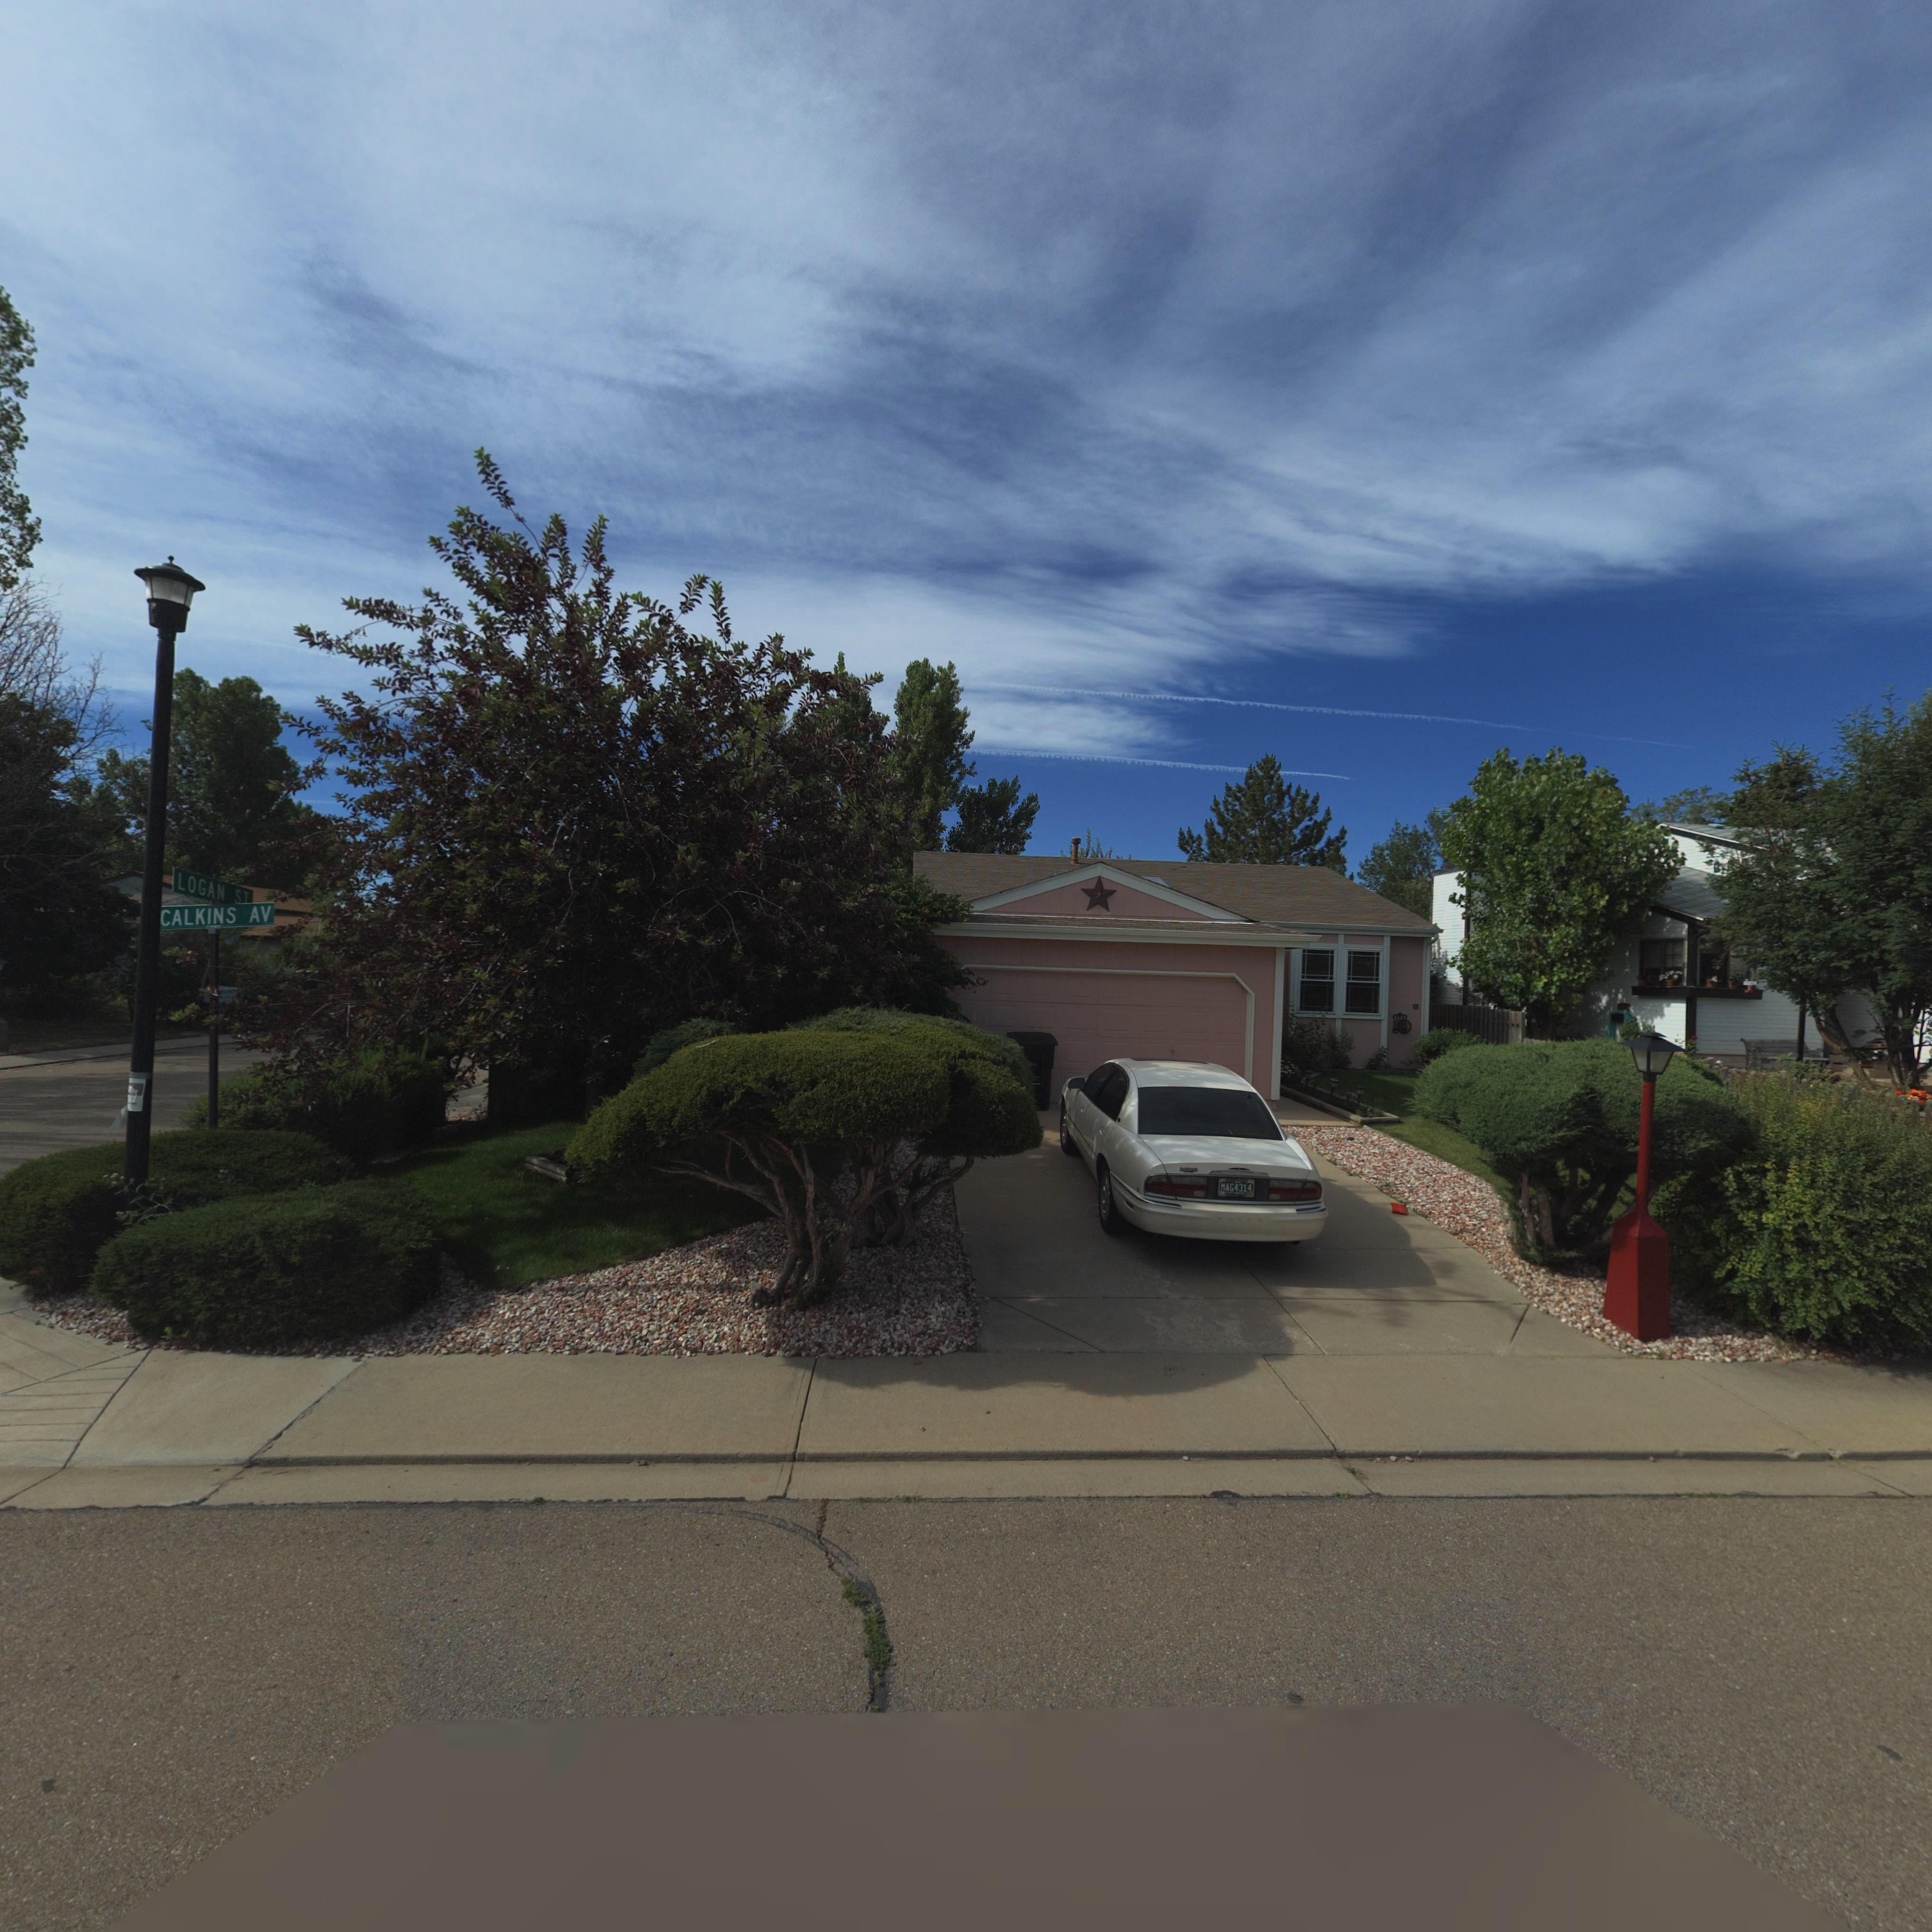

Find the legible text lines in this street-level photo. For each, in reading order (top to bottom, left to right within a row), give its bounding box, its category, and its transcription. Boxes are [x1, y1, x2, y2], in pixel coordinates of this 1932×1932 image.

[177, 870, 250, 906] StreetName: LOGAN ST
[160, 905, 272, 927] StreetName: CALKINS AV